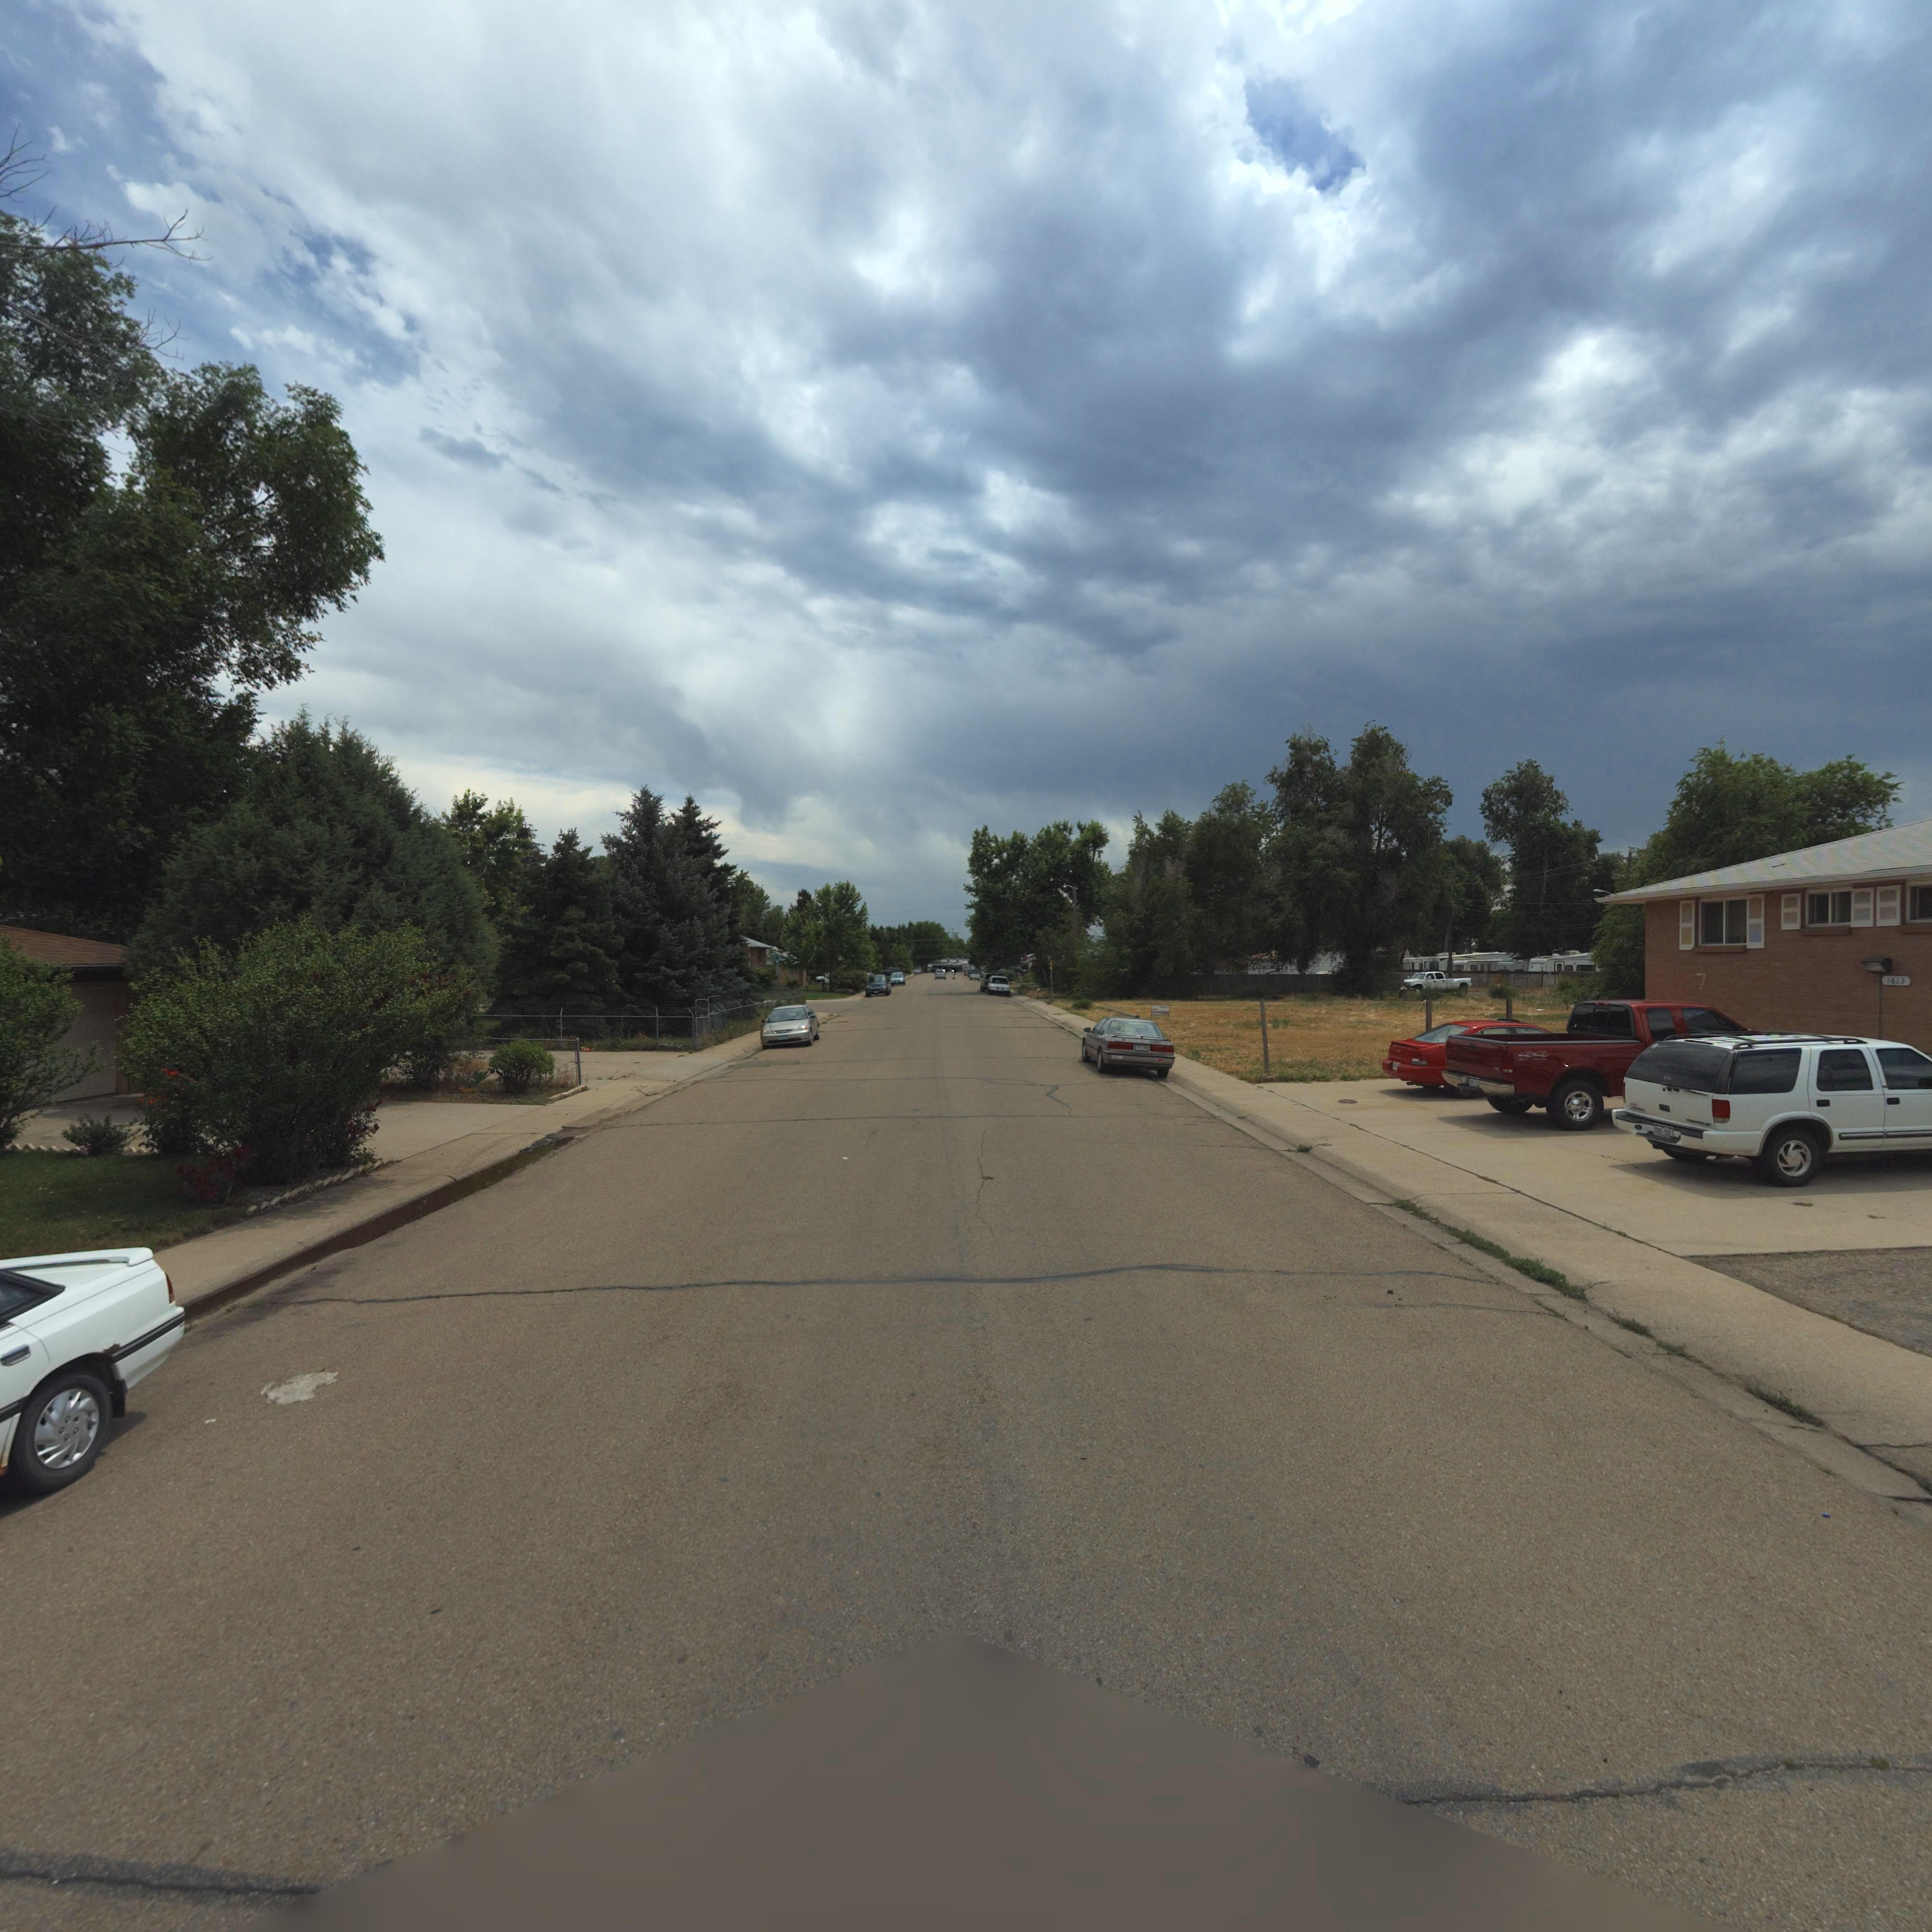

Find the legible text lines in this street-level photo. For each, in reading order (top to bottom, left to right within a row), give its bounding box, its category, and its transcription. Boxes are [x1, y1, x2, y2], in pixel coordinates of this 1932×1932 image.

[1887, 976, 1905, 984] StreetNumber: 1613